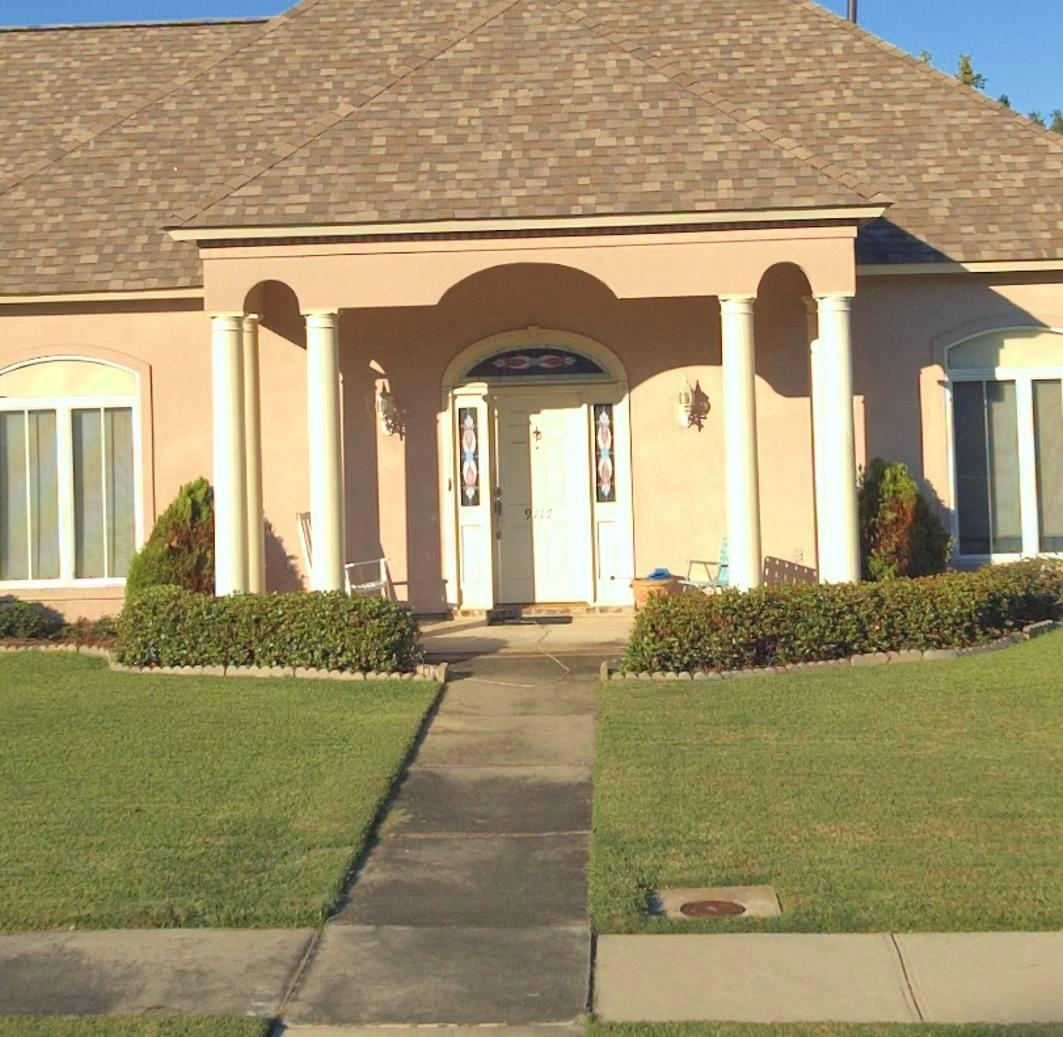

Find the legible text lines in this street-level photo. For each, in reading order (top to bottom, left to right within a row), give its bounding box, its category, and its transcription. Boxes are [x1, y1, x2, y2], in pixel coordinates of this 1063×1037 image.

[524, 506, 555, 521] StreetNumber: 9117